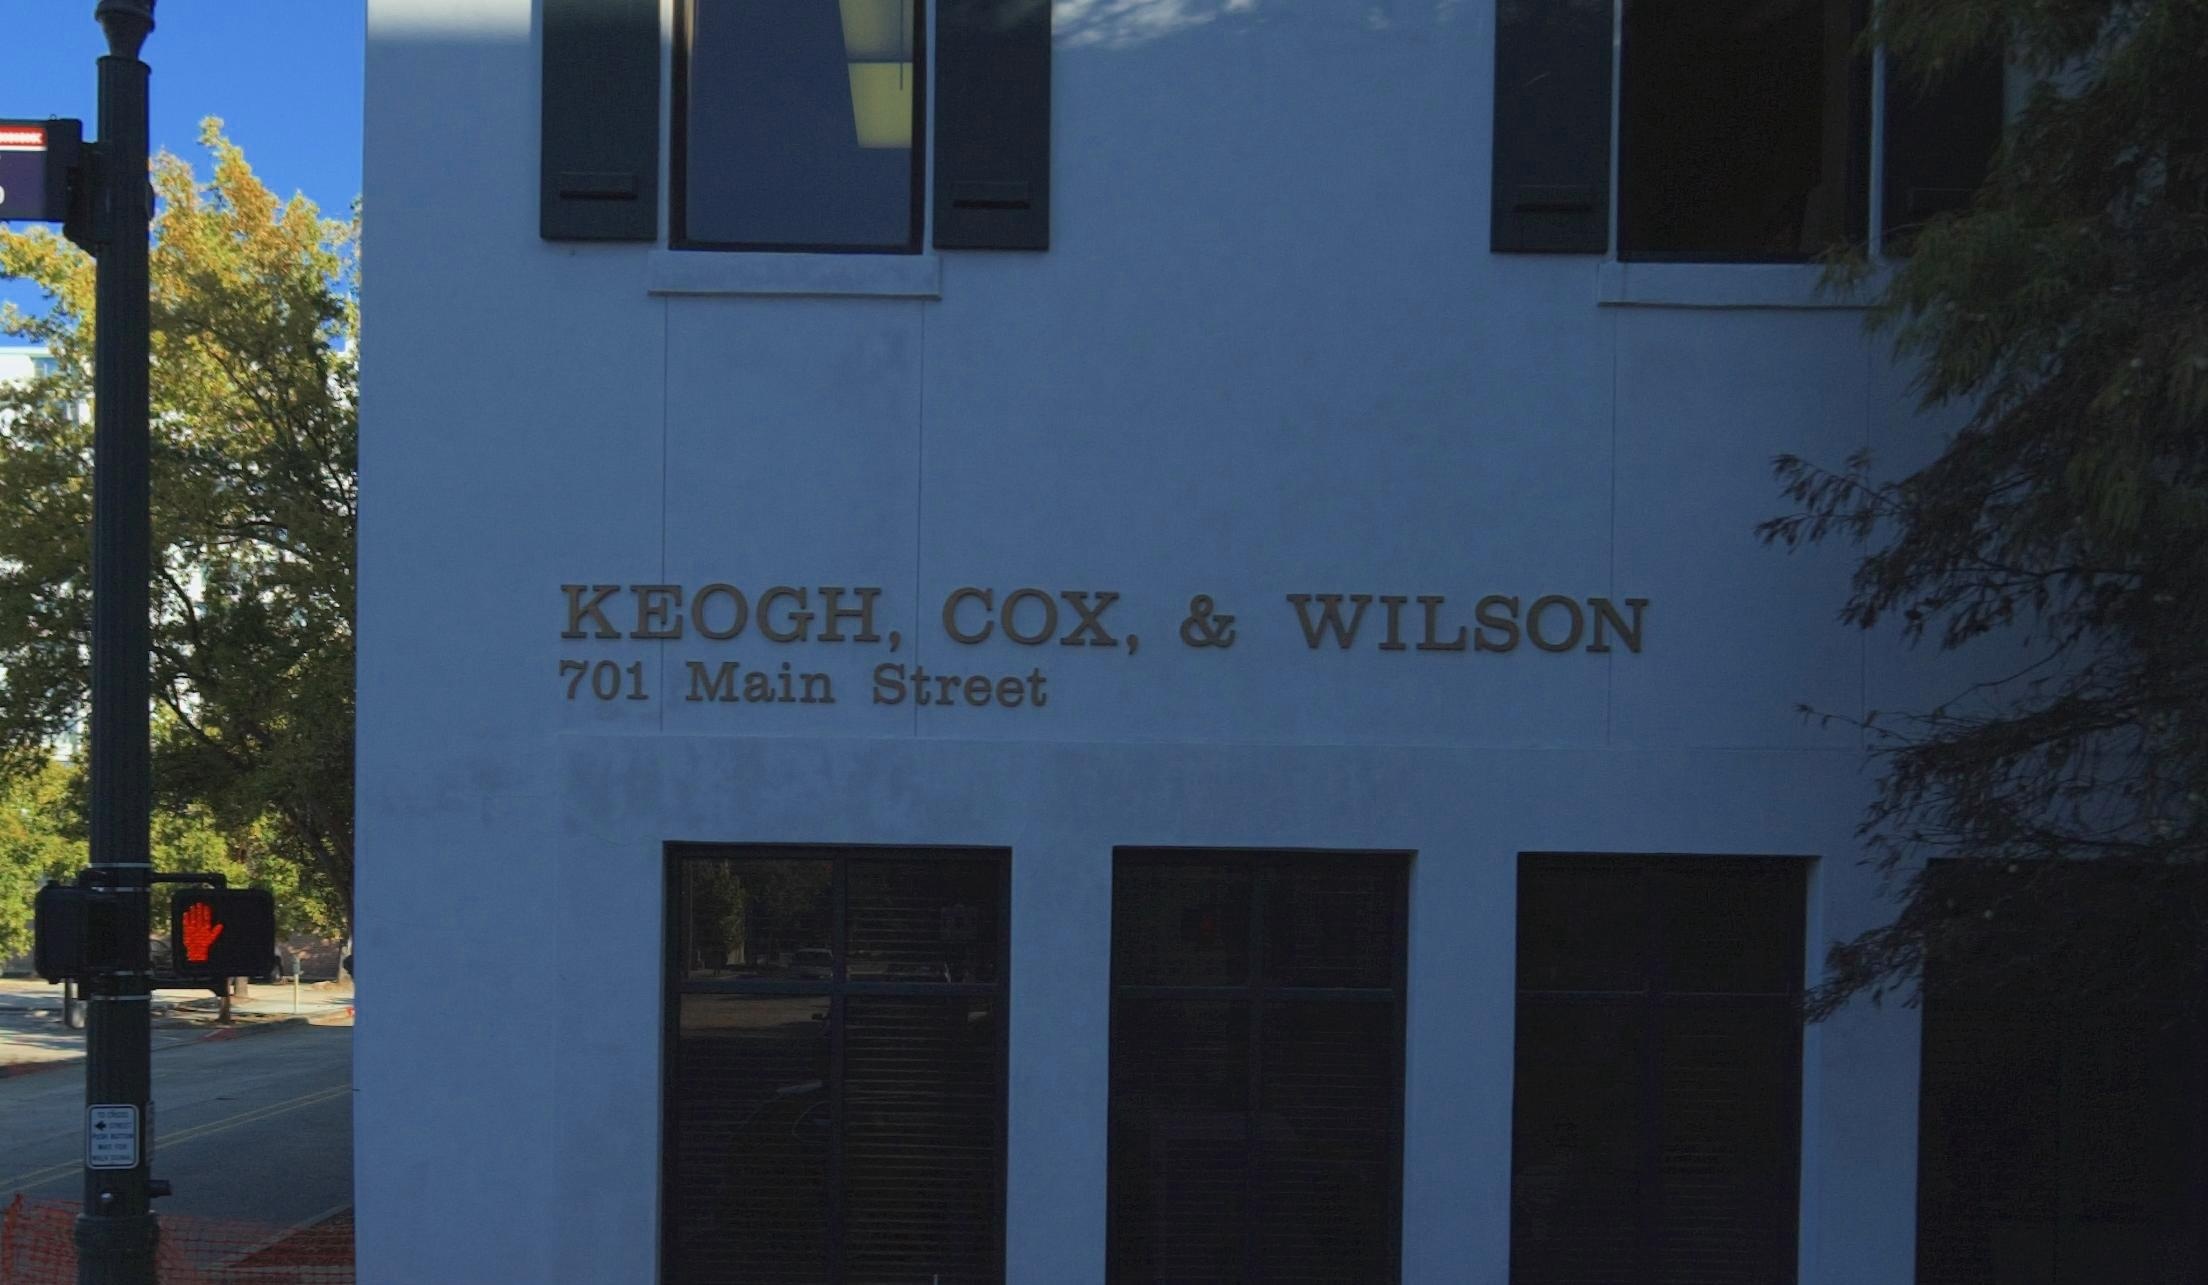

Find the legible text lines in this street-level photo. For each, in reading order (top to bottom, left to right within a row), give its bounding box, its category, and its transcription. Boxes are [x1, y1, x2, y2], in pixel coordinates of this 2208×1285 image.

[553, 573, 1659, 661] BusinessName: KEOGH, COX, & WILSON
[554, 653, 652, 704] StreetNumber: 701
[681, 658, 1055, 711] StreetName: Main Street